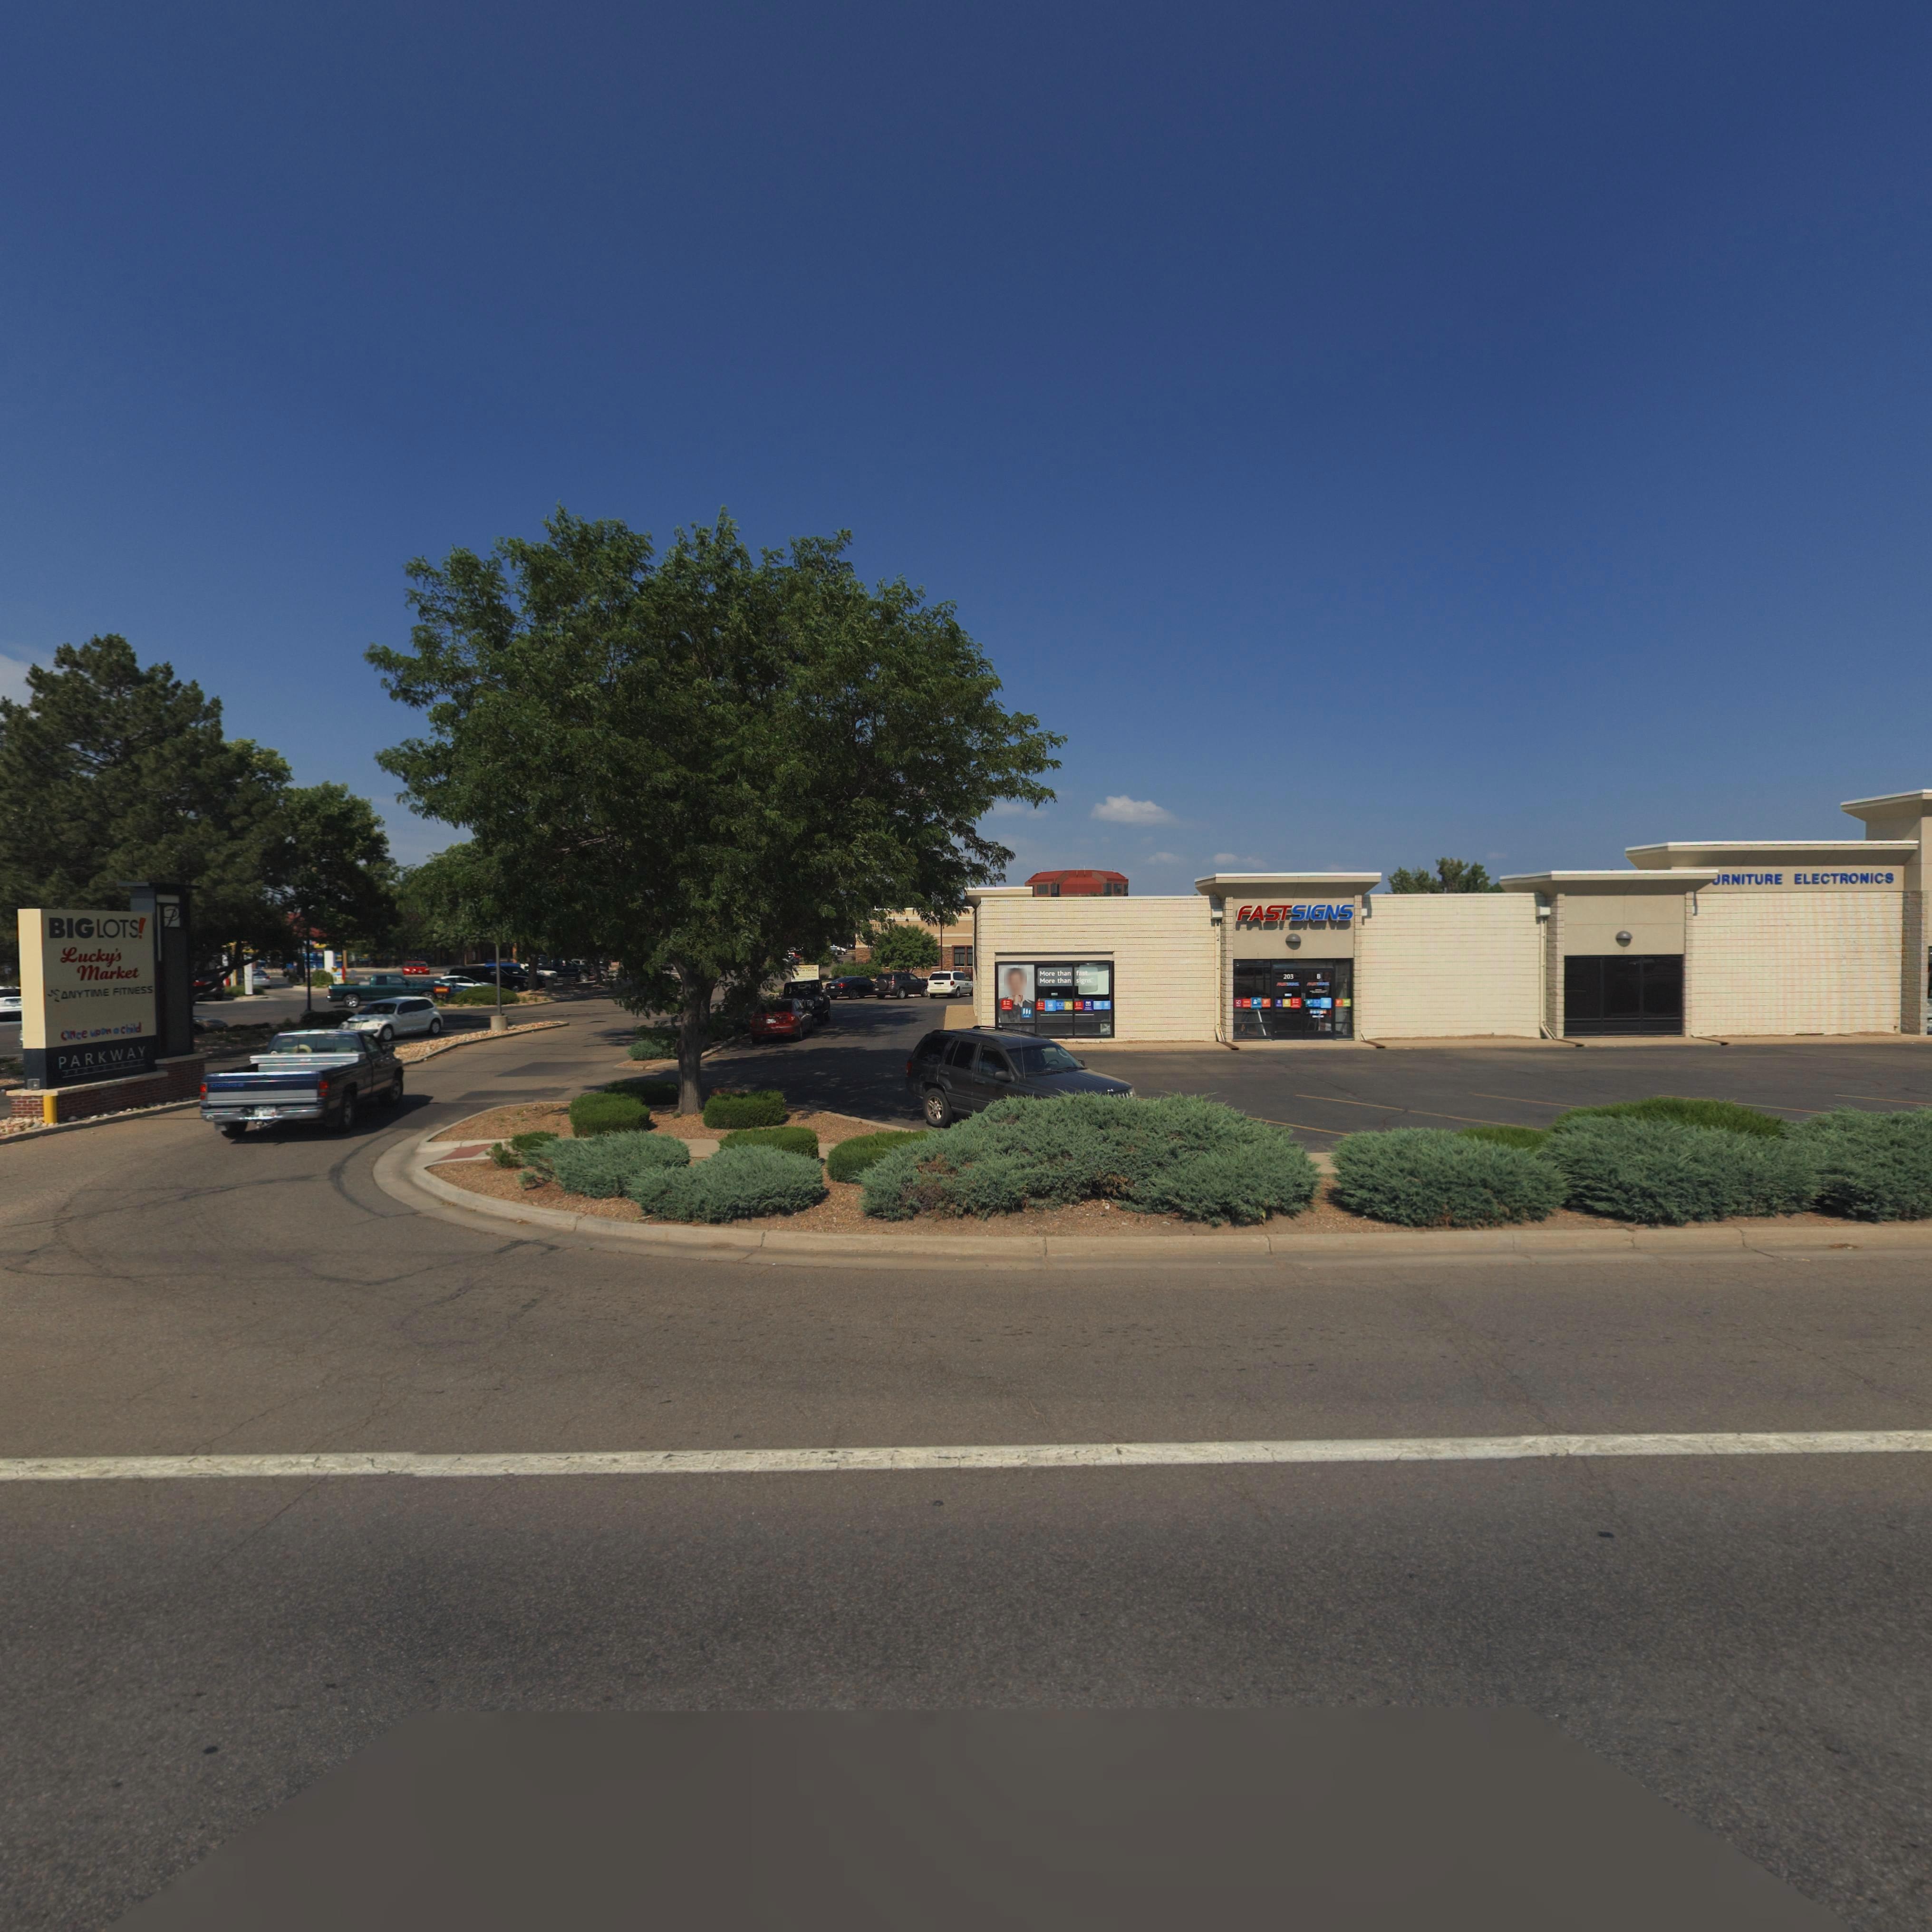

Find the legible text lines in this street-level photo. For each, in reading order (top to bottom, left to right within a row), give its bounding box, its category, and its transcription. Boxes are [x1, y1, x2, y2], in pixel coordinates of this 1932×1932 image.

[1236, 904, 1354, 921] BusinessName: FAST SIGNS
[48, 917, 146, 939] BusinessName: BIG LOTS!
[59, 947, 121, 967] BusinessName: Lucky's
[77, 964, 140, 981] BusinessName: Market
[805, 969, 817, 971] BusinessName: CENTER
[1283, 973, 1294, 979] StreetNumber: 203
[1316, 973, 1321, 979] SecondaryUnitDesignator: B
[1276, 982, 1300, 986] BusinessName: FAST SIGNS
[1306, 981, 1329, 986] BusinessName: FAST SIGNS
[60, 985, 153, 999] BusinessName: ANYTIME FITNESS
[60, 1021, 142, 1041] BusinessName: Once upon a child